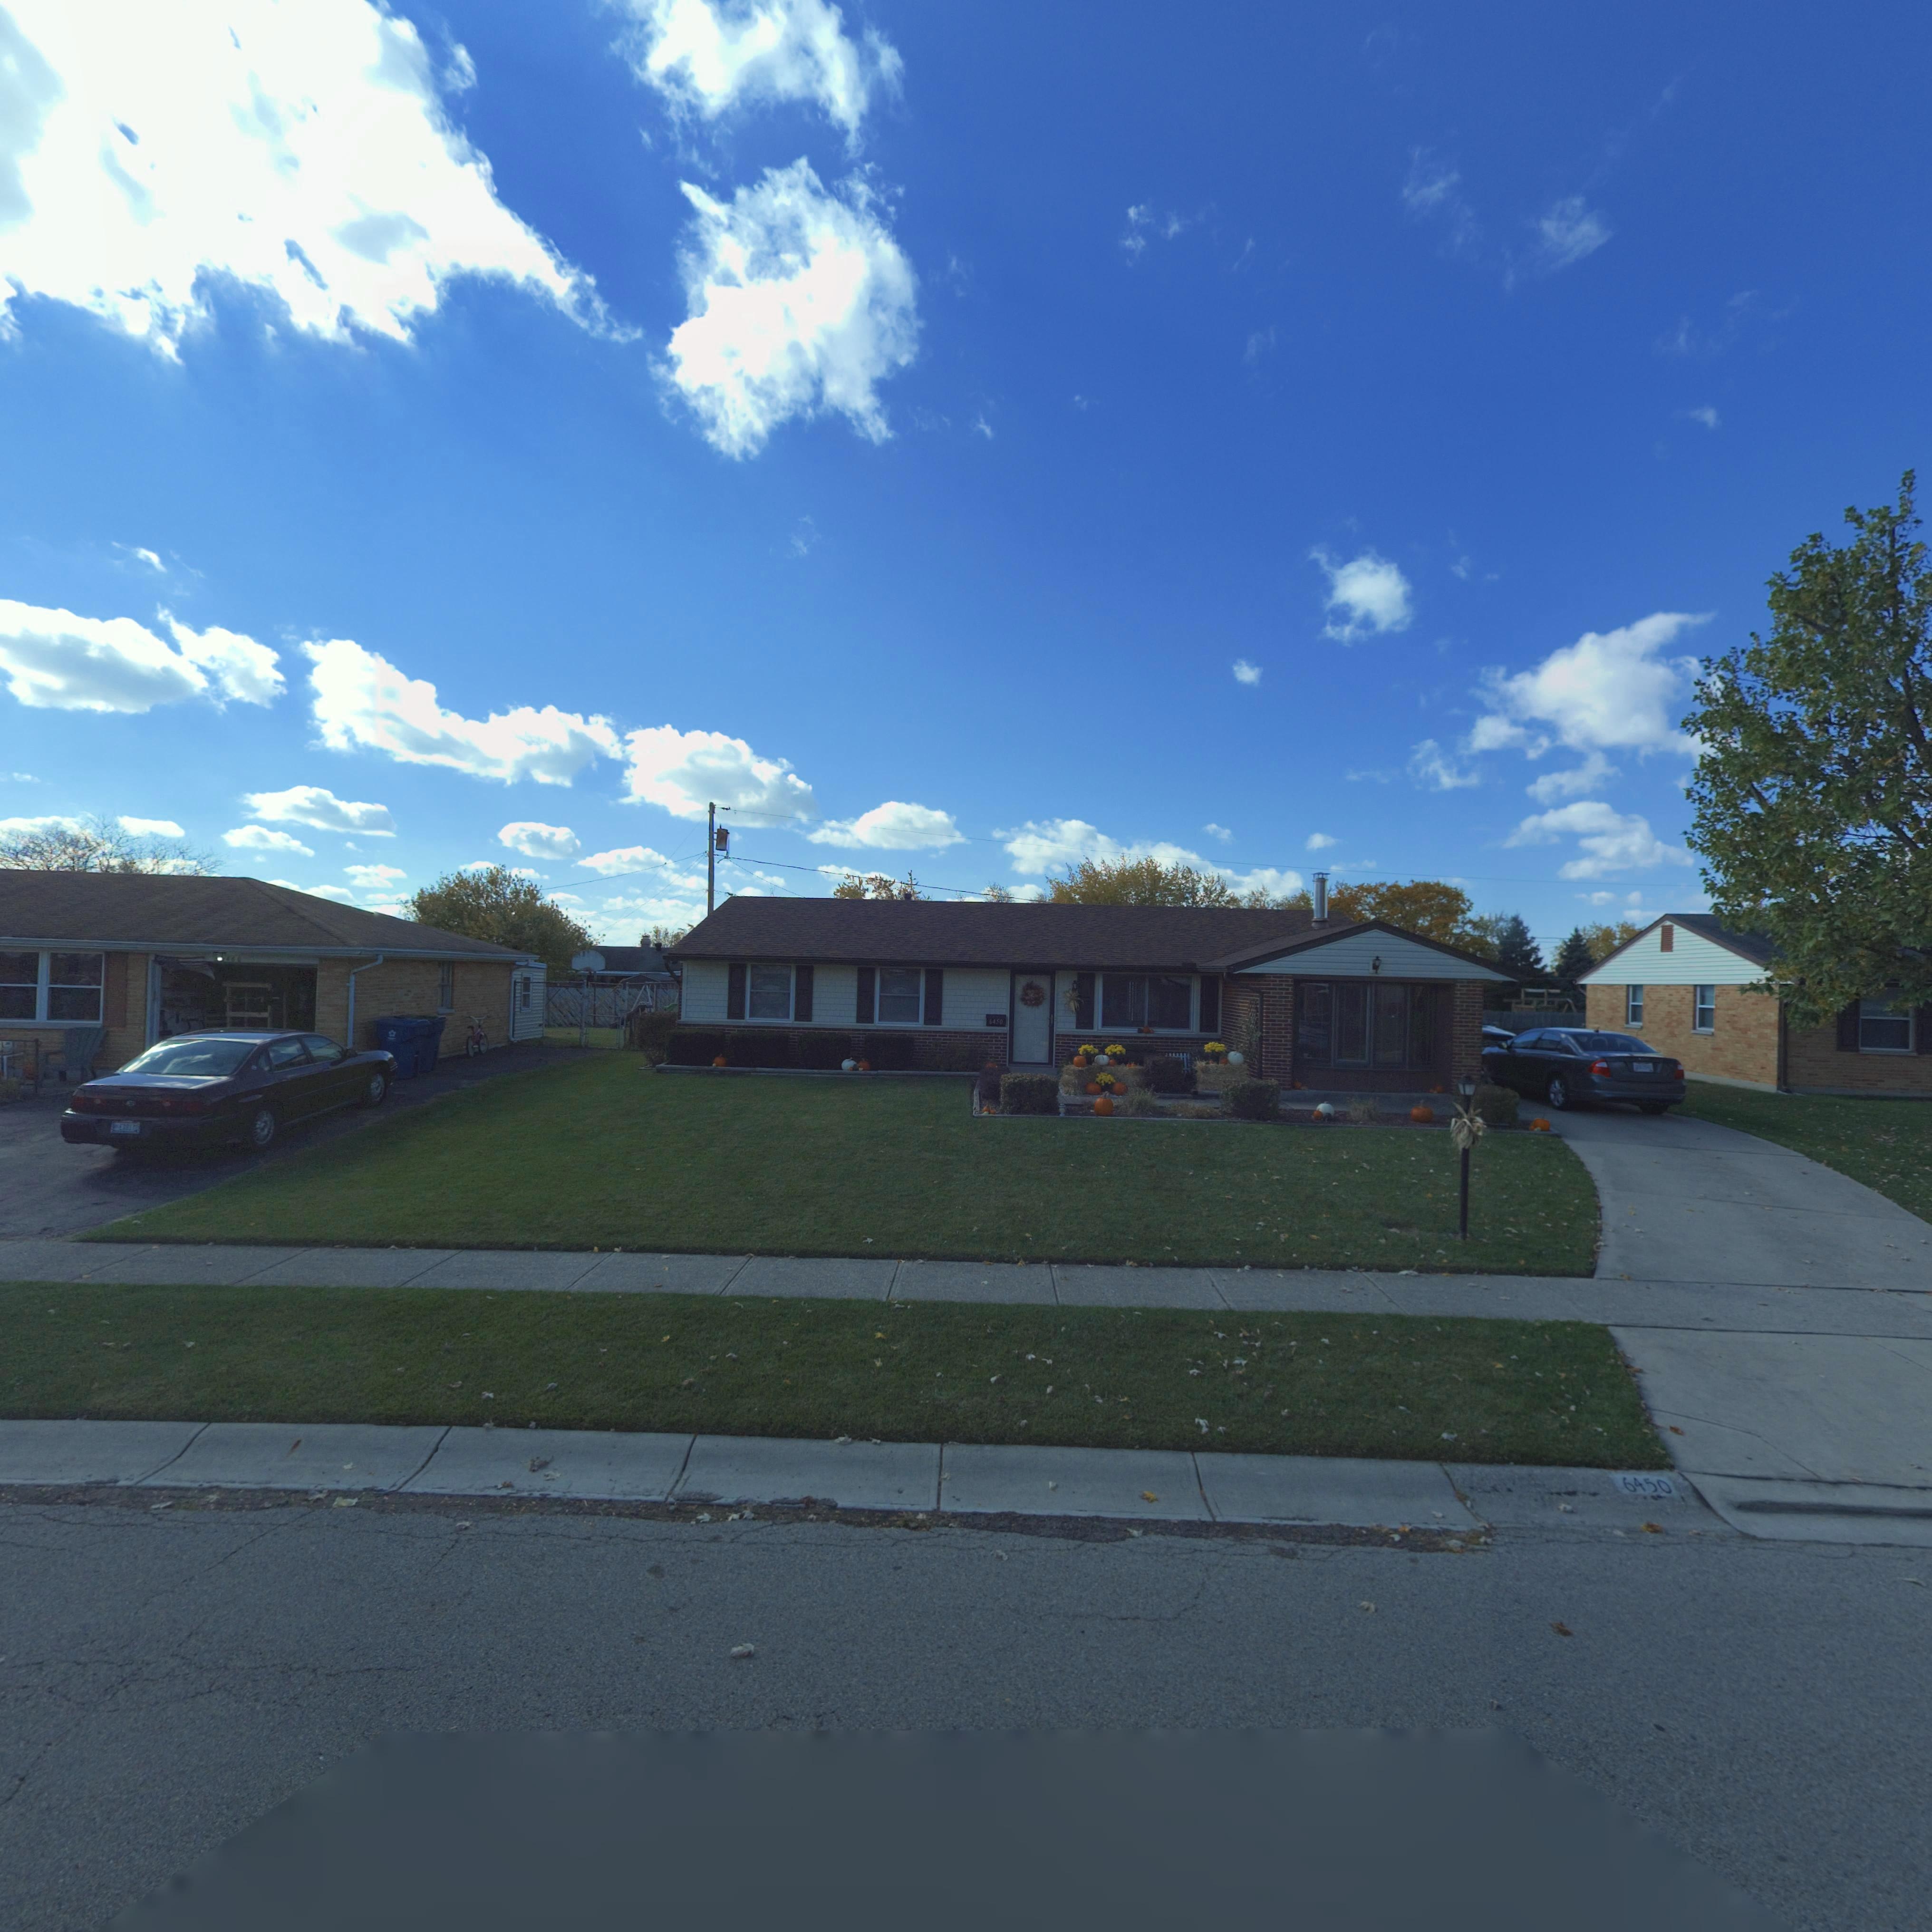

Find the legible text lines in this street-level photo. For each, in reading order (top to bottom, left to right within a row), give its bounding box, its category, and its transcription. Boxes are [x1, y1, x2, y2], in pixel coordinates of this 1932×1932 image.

[225, 955, 242, 964] StreetNumber: 460
[989, 1018, 1003, 1025] StreetNumber: 6450
[1622, 1477, 1673, 1495] StreetNumber: 6450